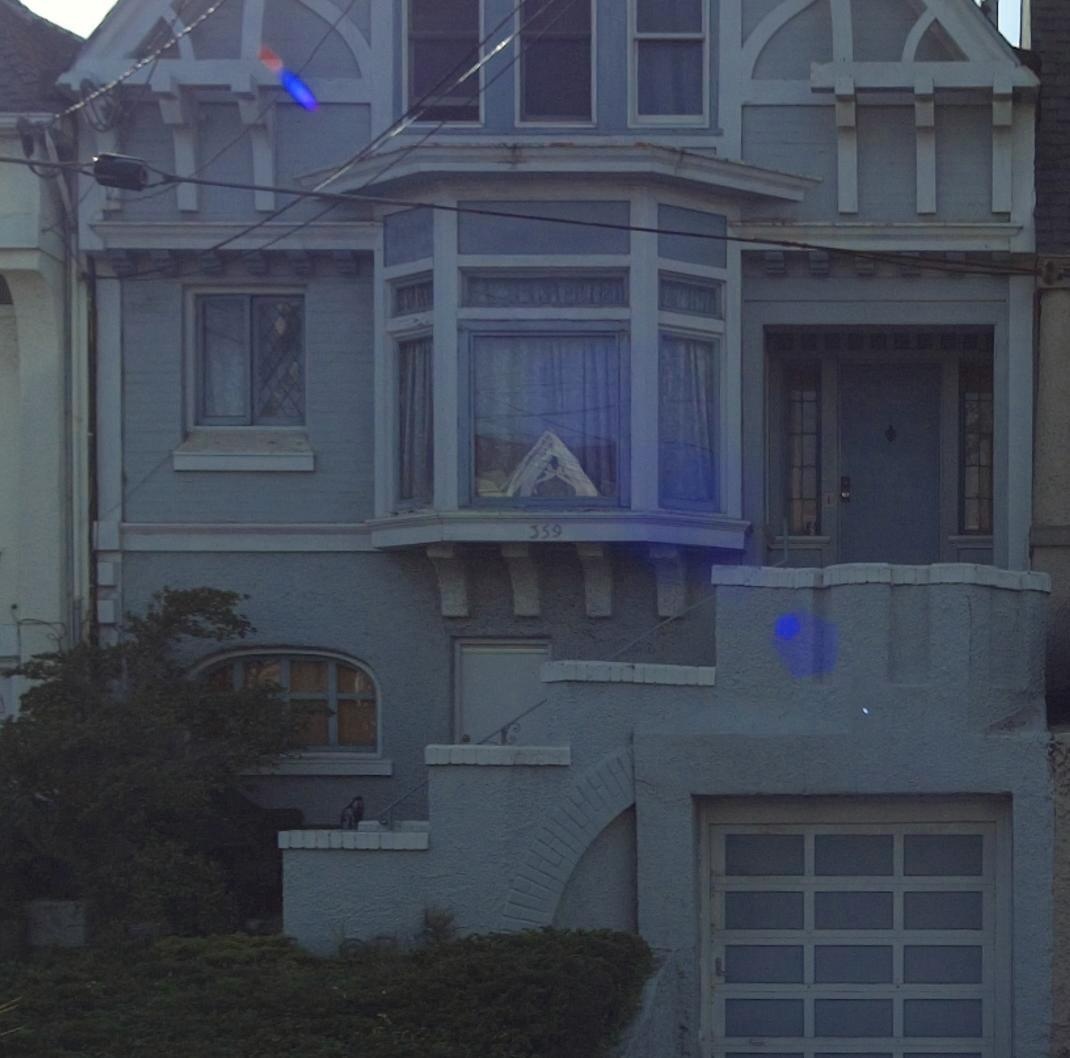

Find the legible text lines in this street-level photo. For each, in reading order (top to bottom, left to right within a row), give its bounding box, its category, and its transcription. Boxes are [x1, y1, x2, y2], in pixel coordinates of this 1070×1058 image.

[527, 522, 564, 541] StreetNumber: 359